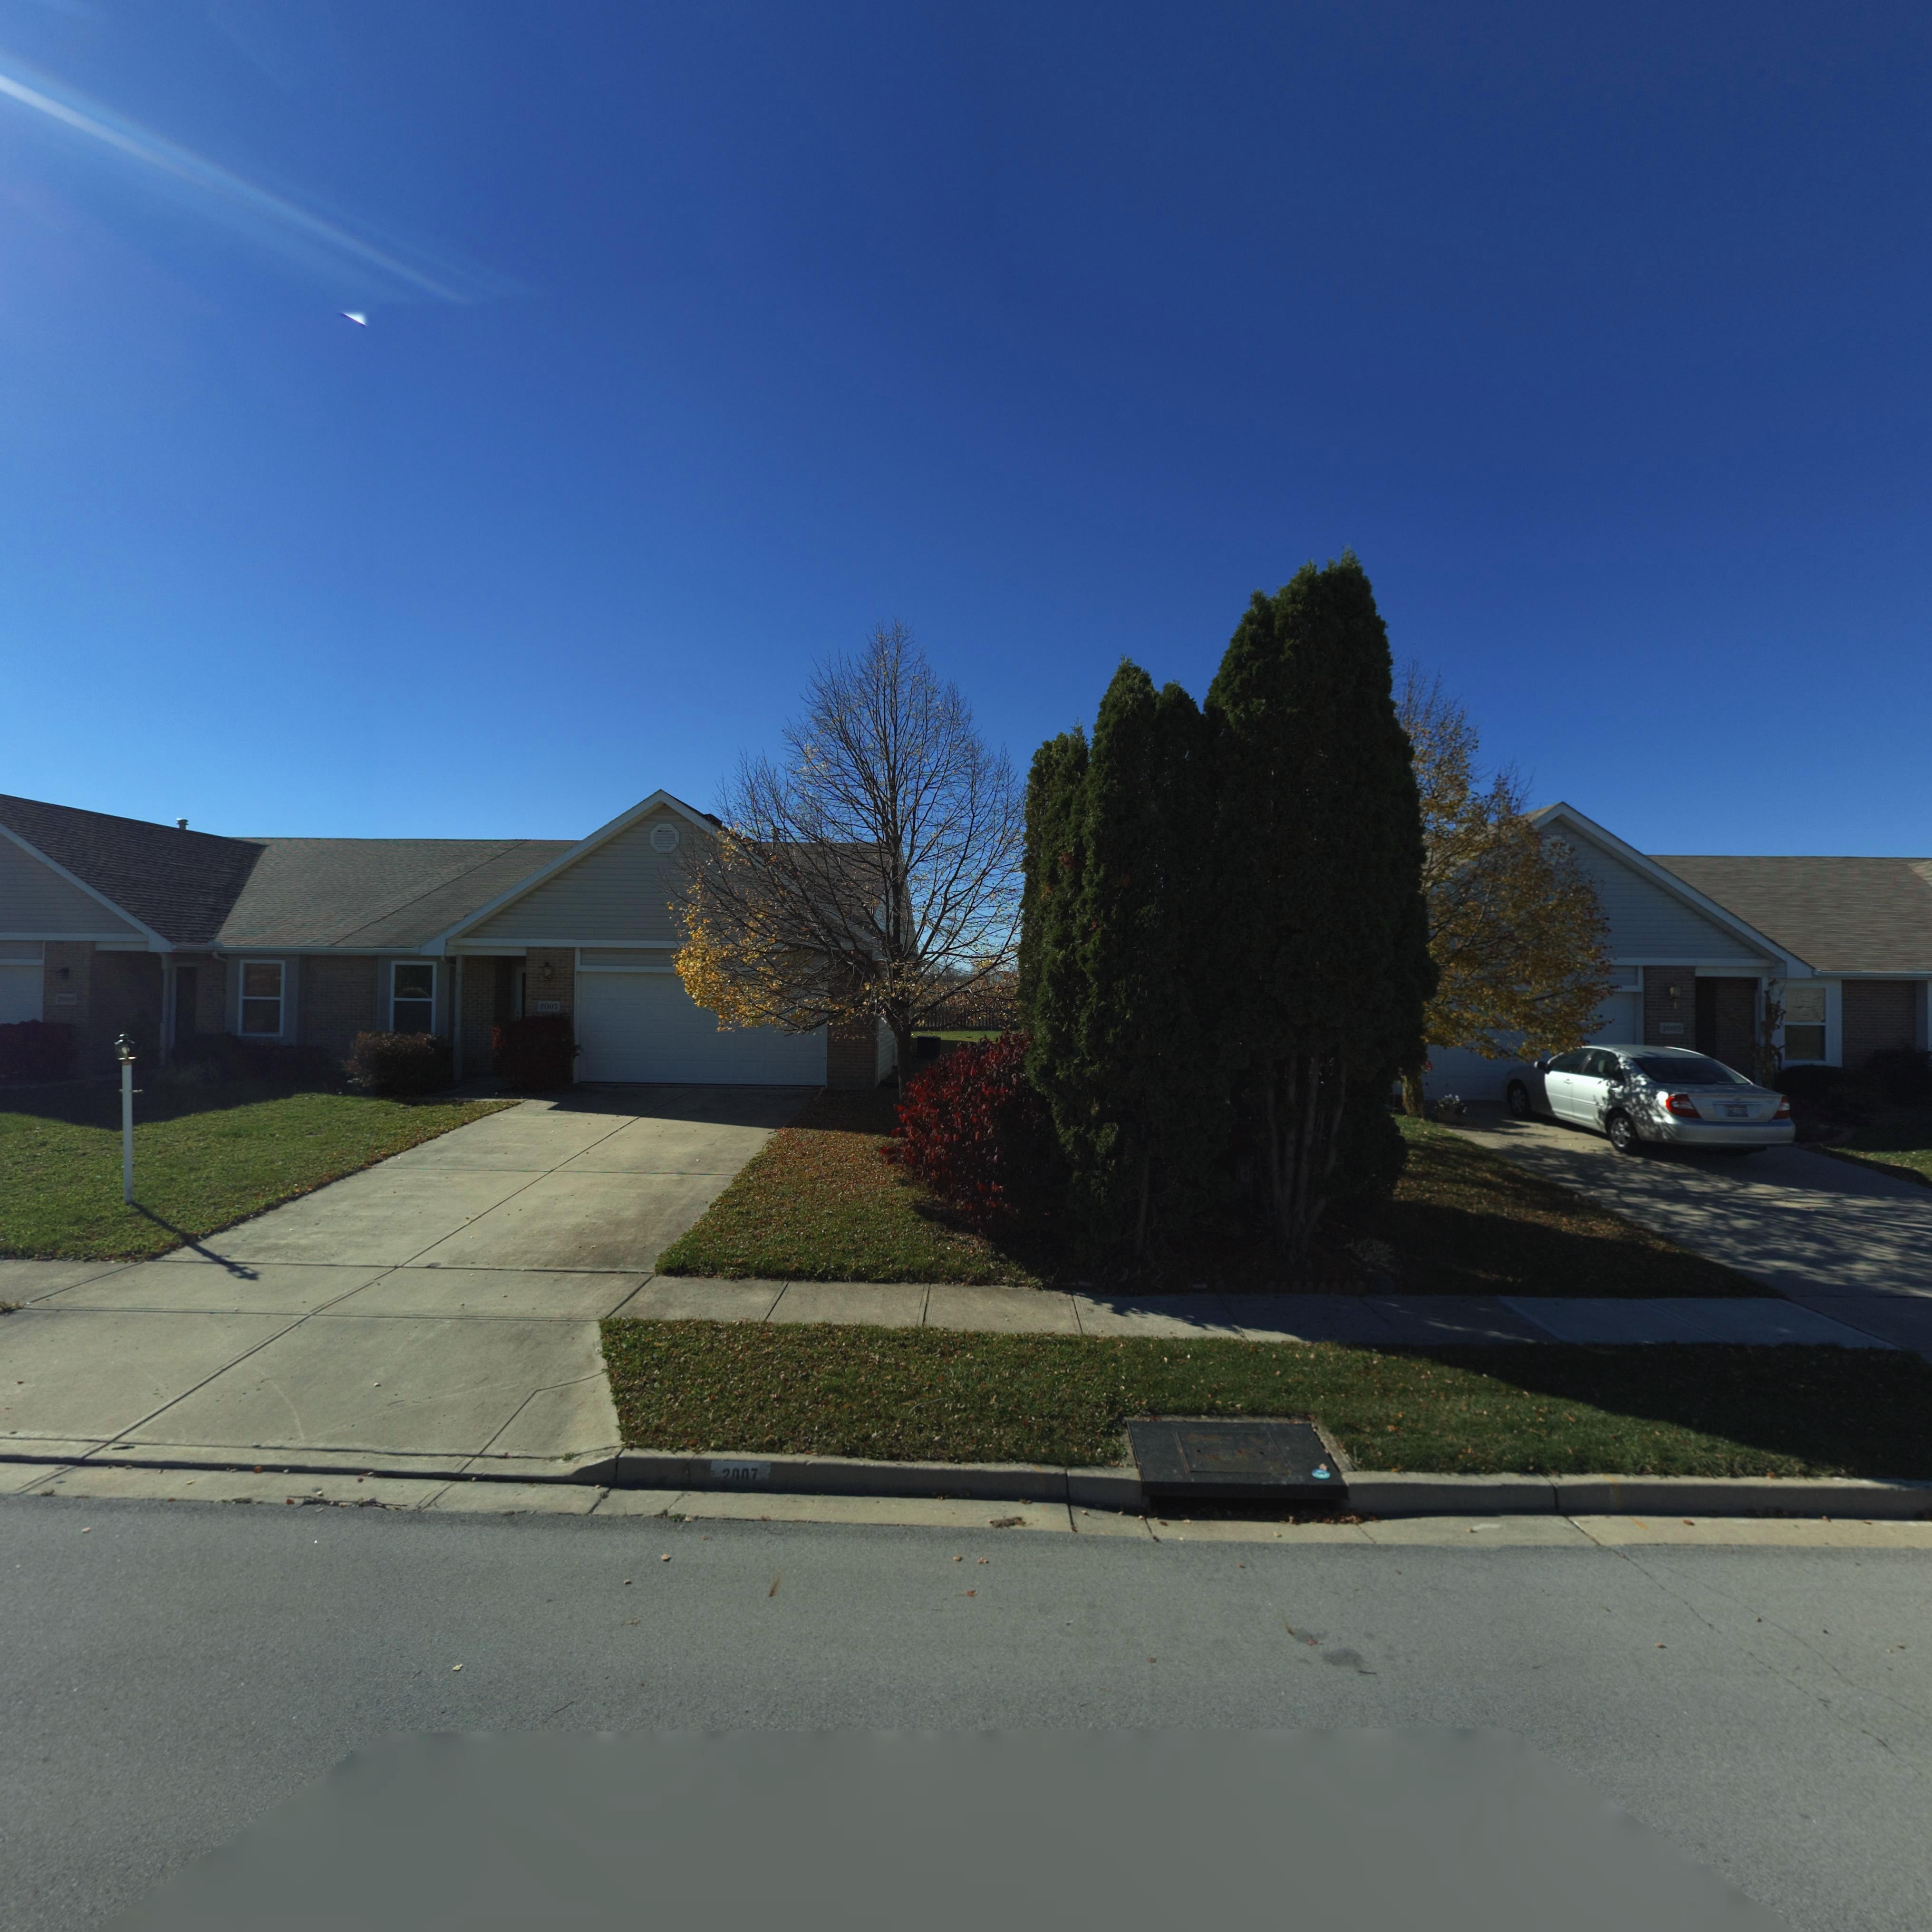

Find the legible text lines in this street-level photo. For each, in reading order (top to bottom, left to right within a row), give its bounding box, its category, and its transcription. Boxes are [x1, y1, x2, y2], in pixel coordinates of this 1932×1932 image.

[539, 1002, 559, 1010] StreetNumber: 2007
[1662, 1024, 1682, 1033] StreetNumber: *00*
[722, 1467, 760, 1481] StreetNumber: ***7